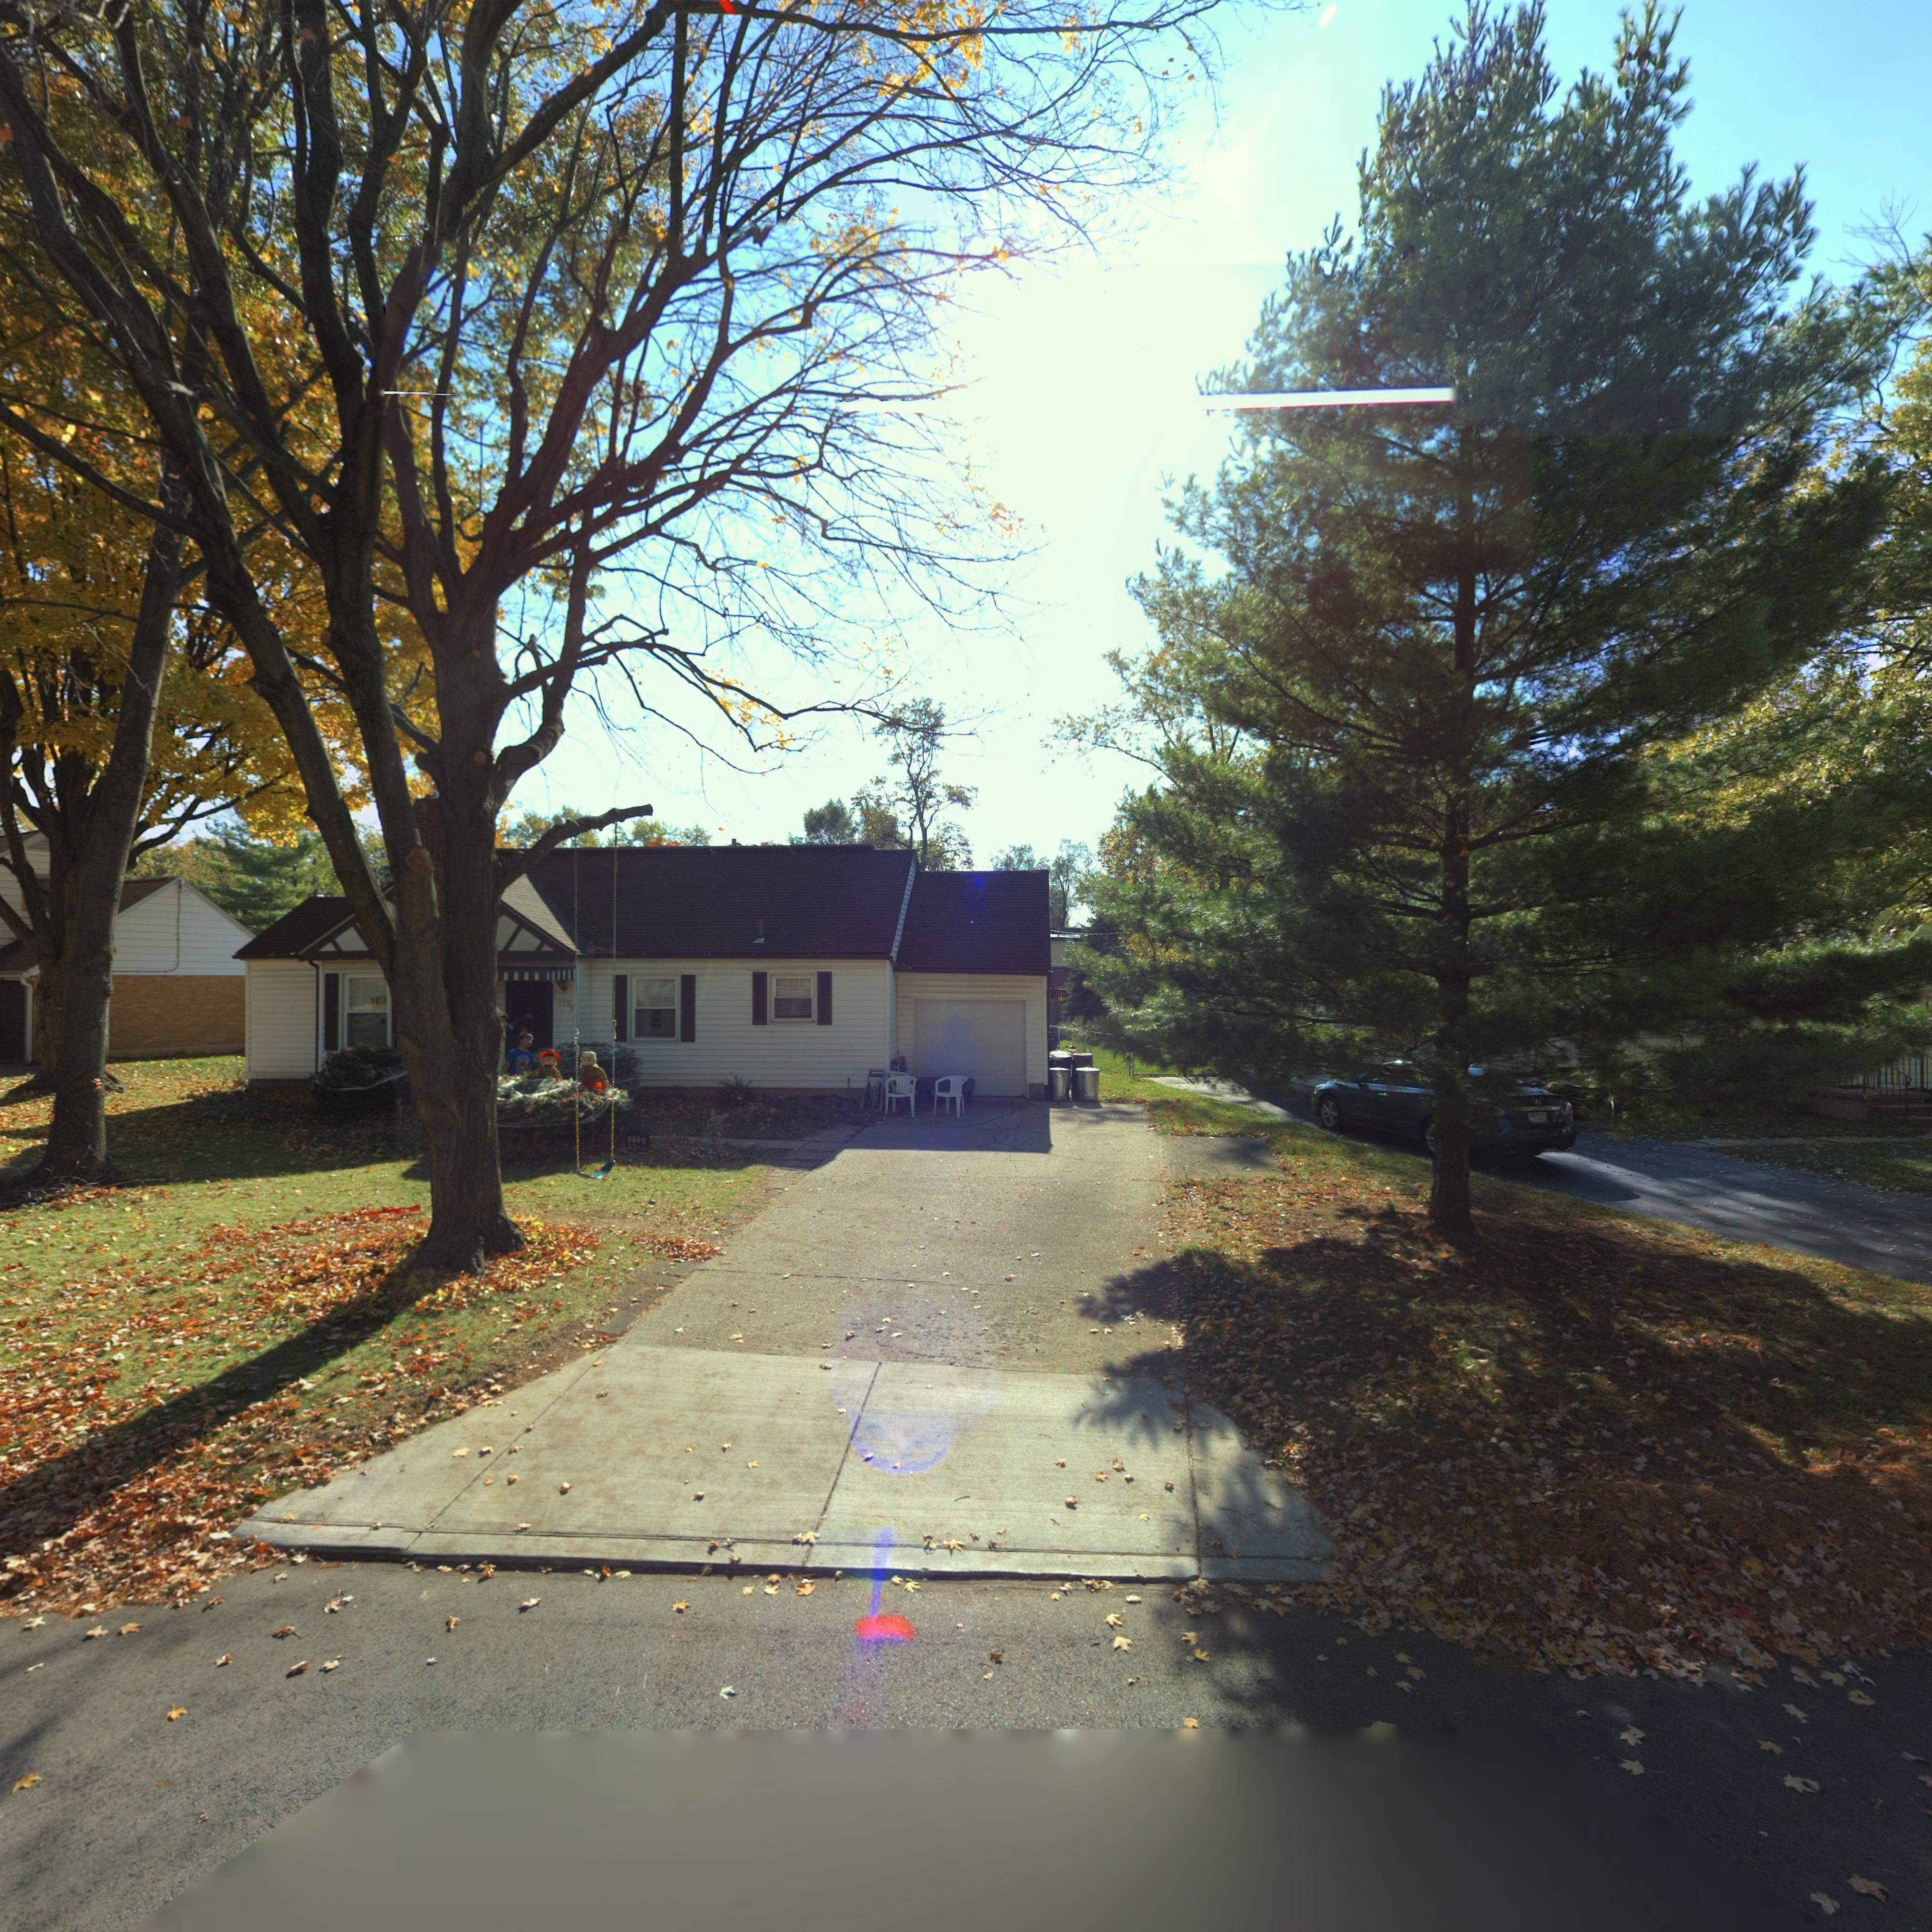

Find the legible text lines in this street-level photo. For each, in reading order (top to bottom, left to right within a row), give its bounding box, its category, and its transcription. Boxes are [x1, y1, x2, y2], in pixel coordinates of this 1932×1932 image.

[558, 999, 570, 1007] StreetNumber: 71*